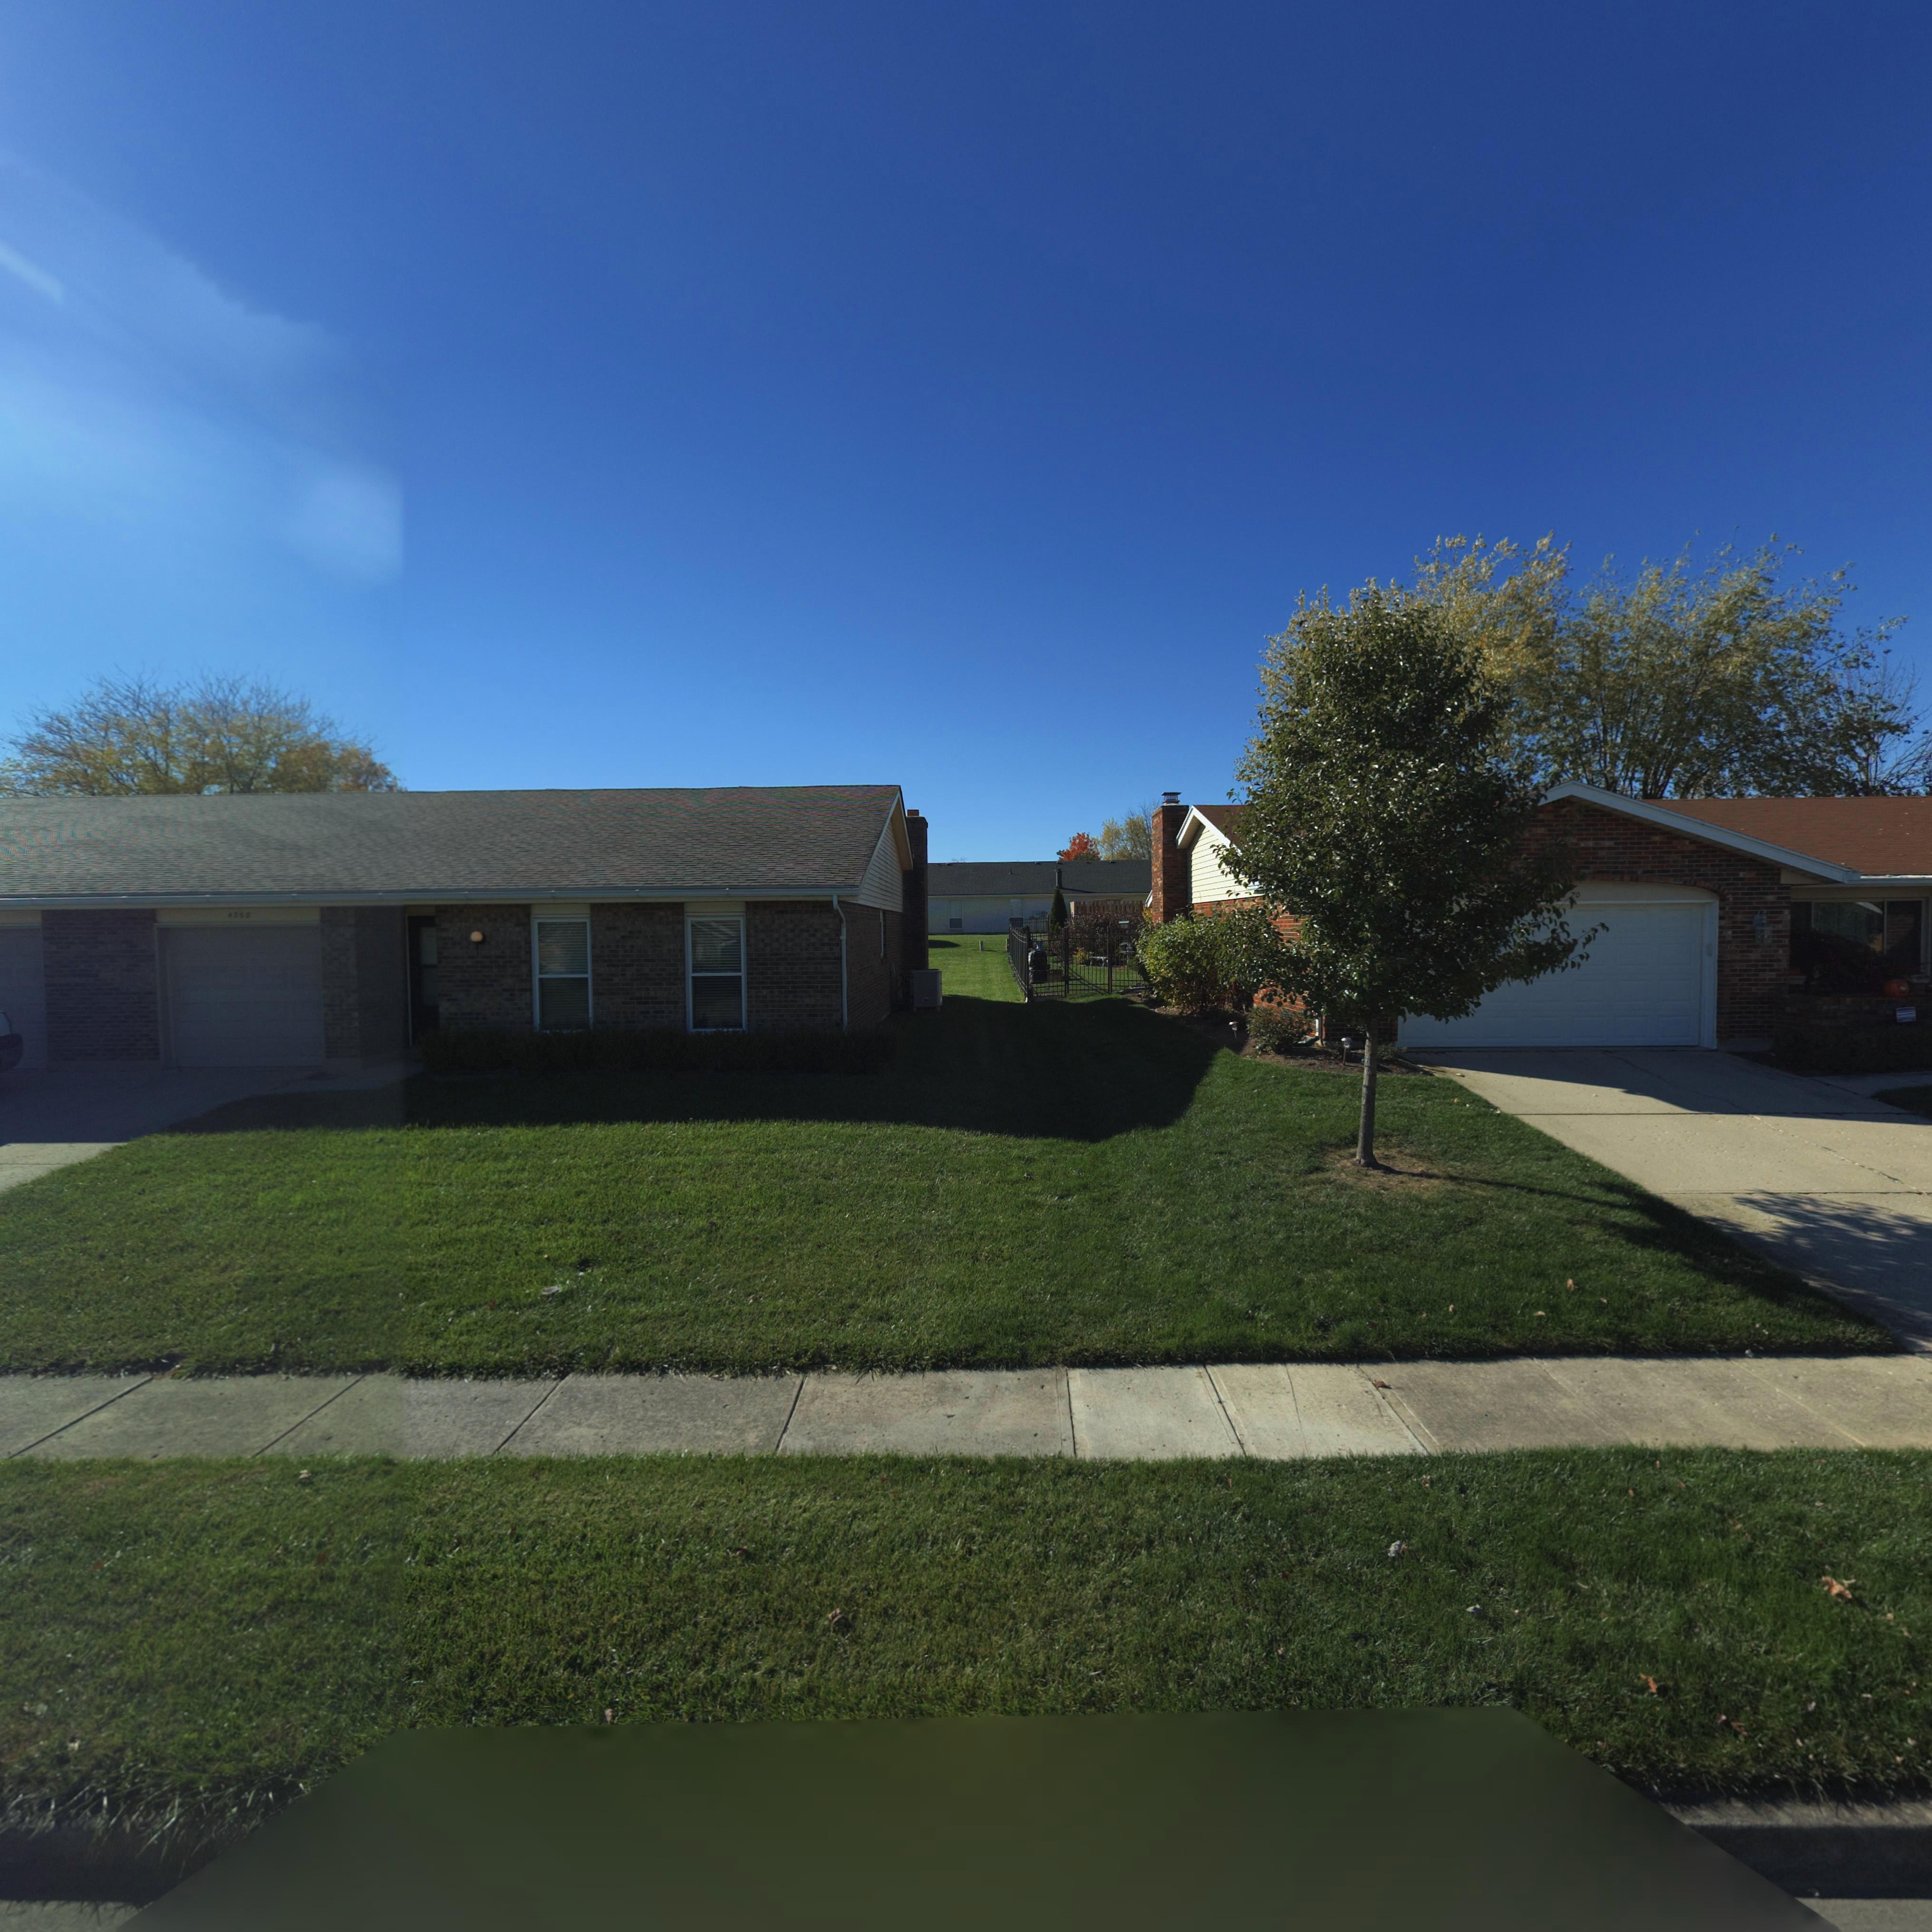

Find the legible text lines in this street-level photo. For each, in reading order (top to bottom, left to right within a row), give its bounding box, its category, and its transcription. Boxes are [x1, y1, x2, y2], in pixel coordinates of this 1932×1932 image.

[1570, 891, 1581, 898] StreetNumber: 70
[227, 911, 251, 919] StreetNumber: 4368